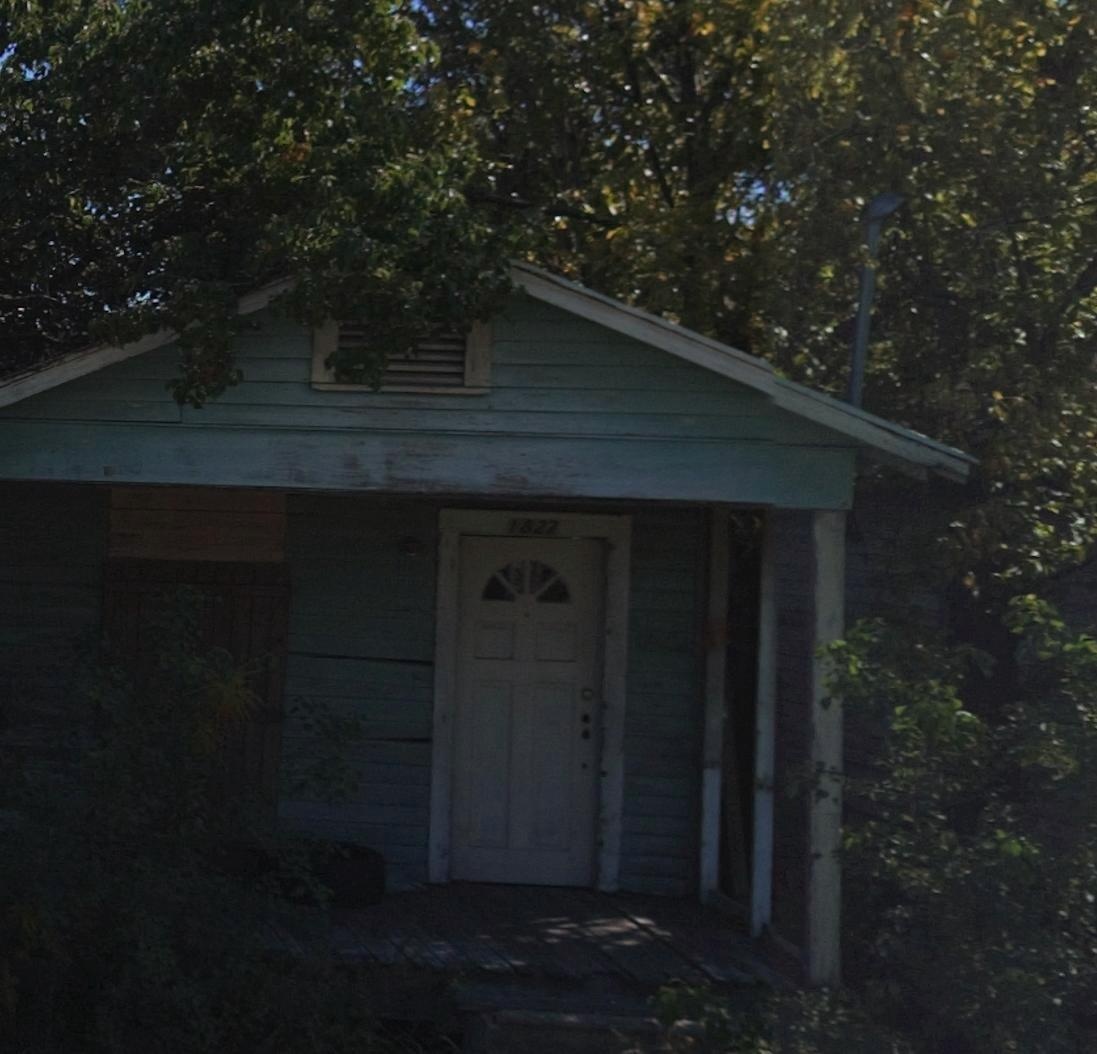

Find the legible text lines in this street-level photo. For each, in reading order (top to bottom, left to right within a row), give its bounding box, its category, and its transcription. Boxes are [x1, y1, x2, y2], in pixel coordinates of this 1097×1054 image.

[505, 516, 564, 537] StreetNumber: 1827